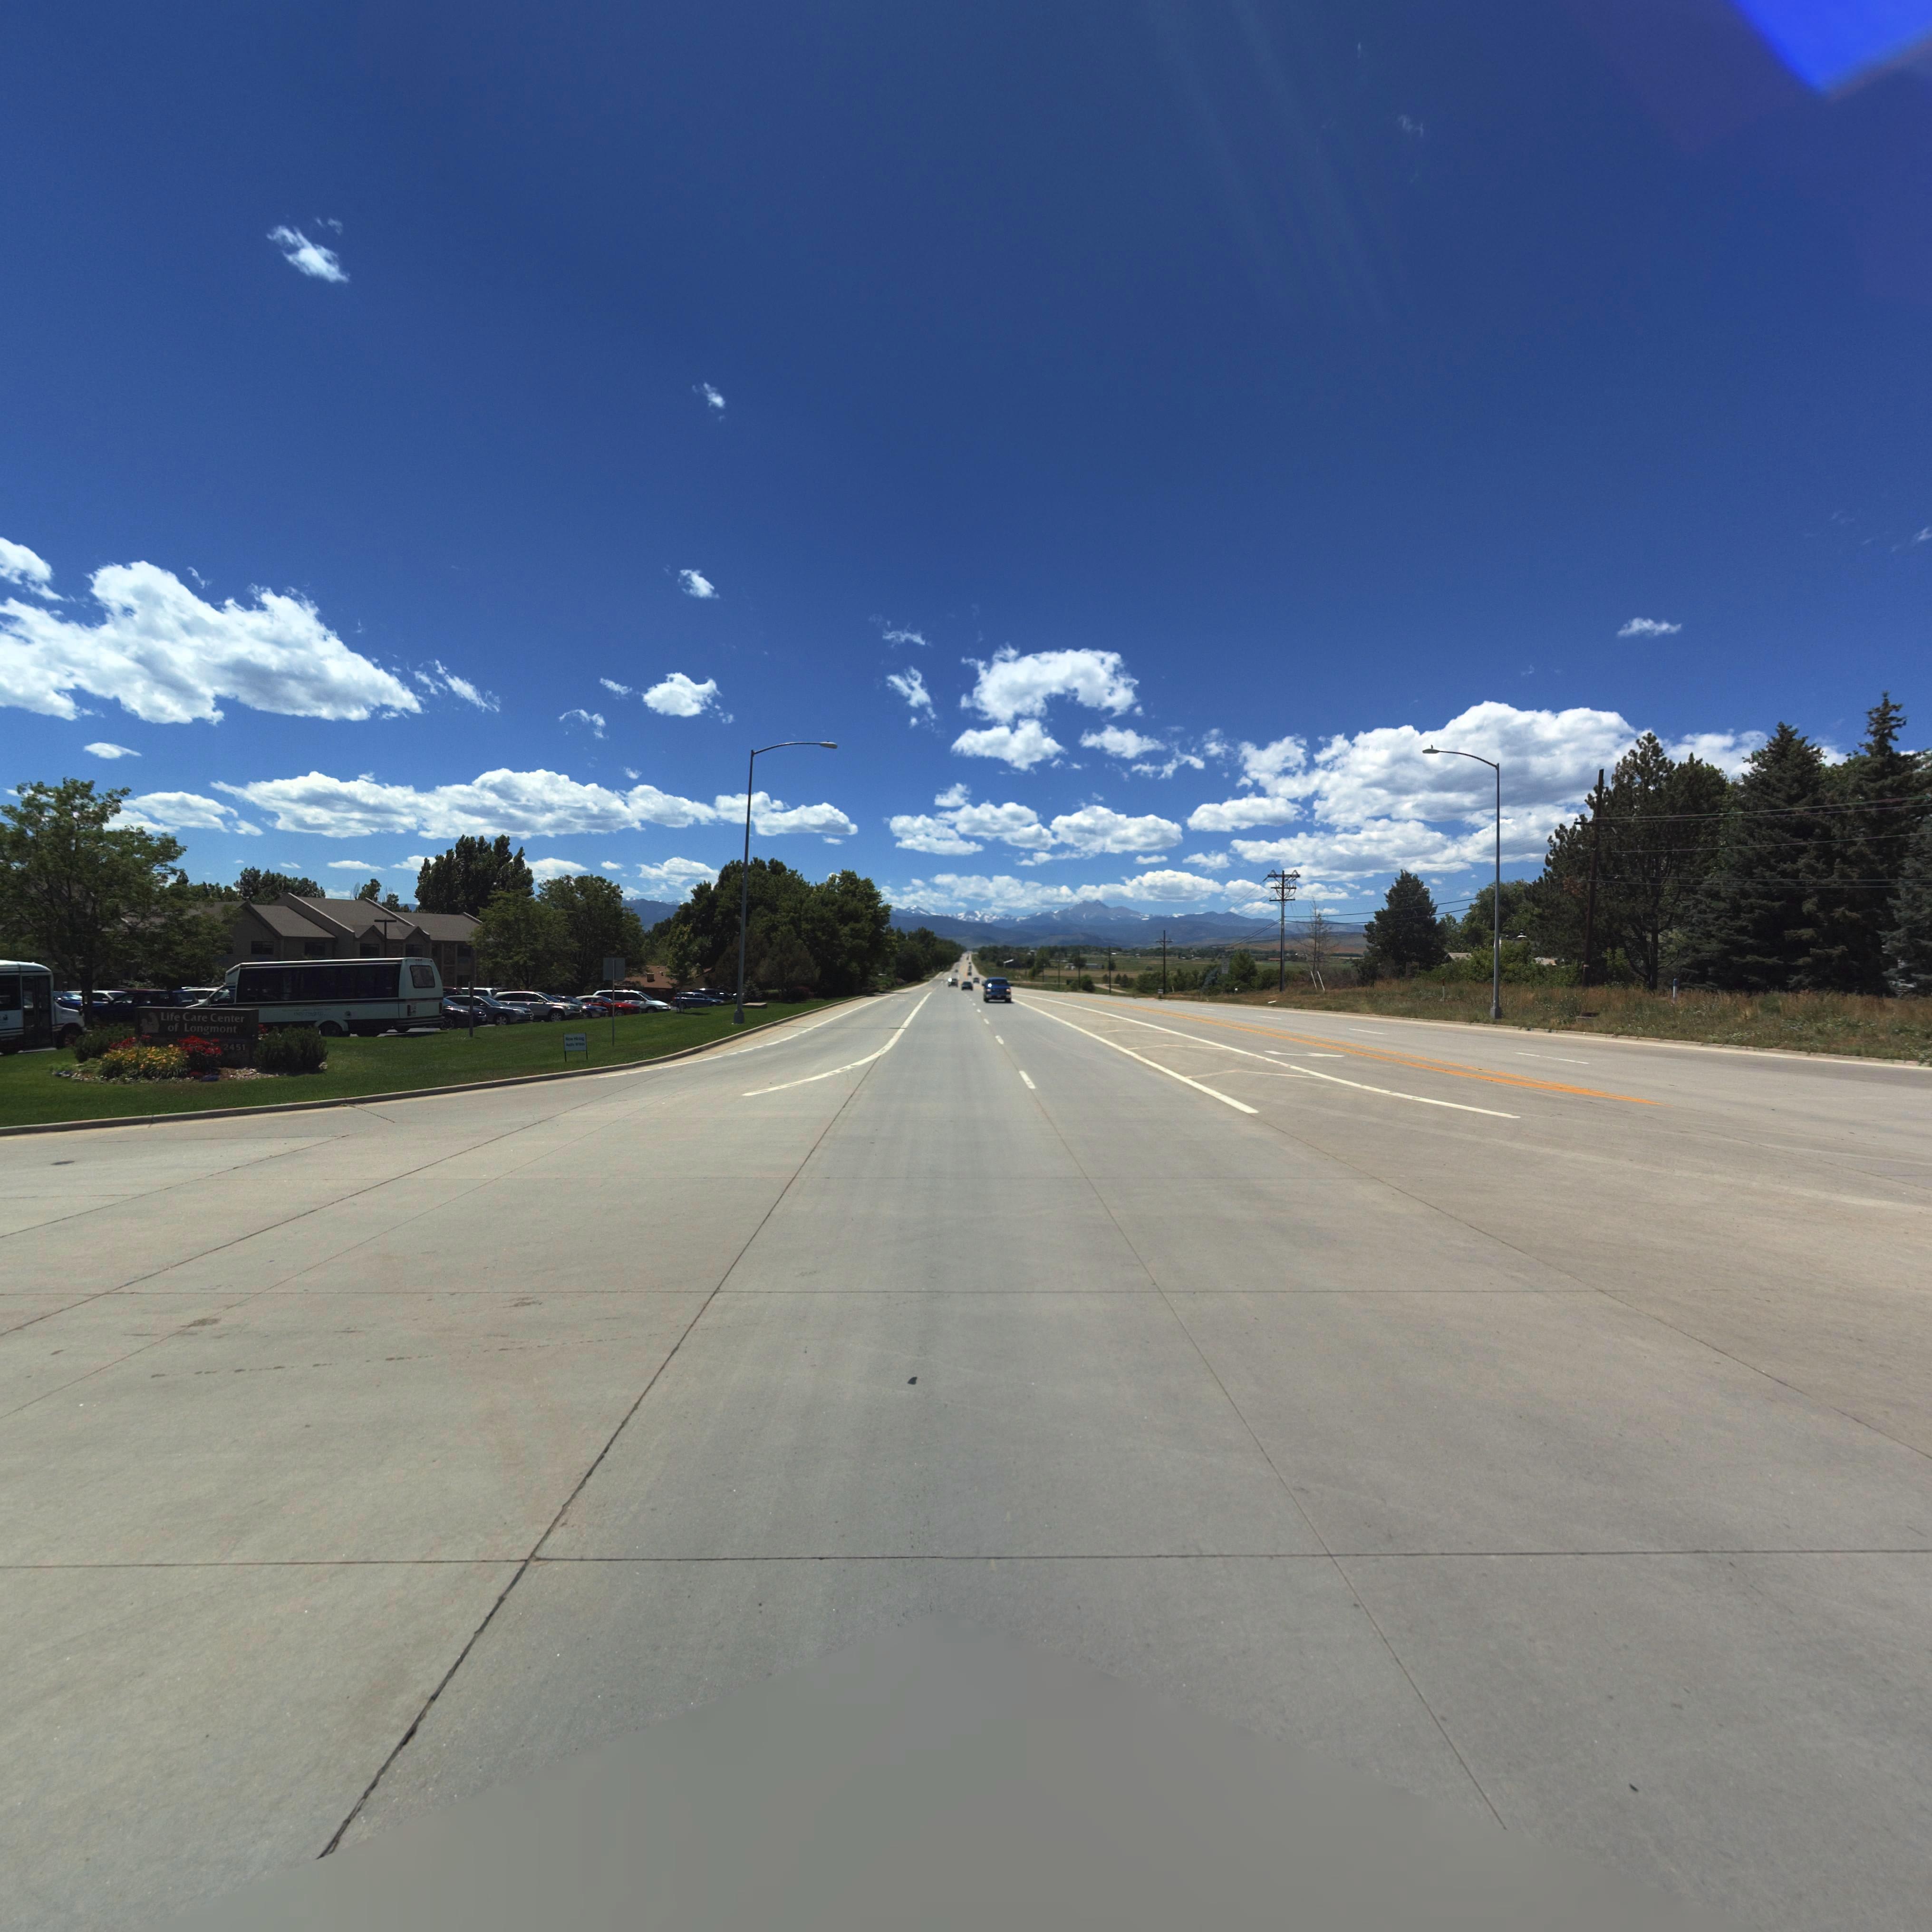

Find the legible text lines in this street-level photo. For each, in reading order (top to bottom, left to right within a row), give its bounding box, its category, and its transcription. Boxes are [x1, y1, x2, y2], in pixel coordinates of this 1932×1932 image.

[160, 1011, 246, 1023] BusinessName: Life Care Center
[167, 1022, 238, 1035] BusinessName: of Longmont
[222, 1043, 245, 1051] StreetNumber: 2451